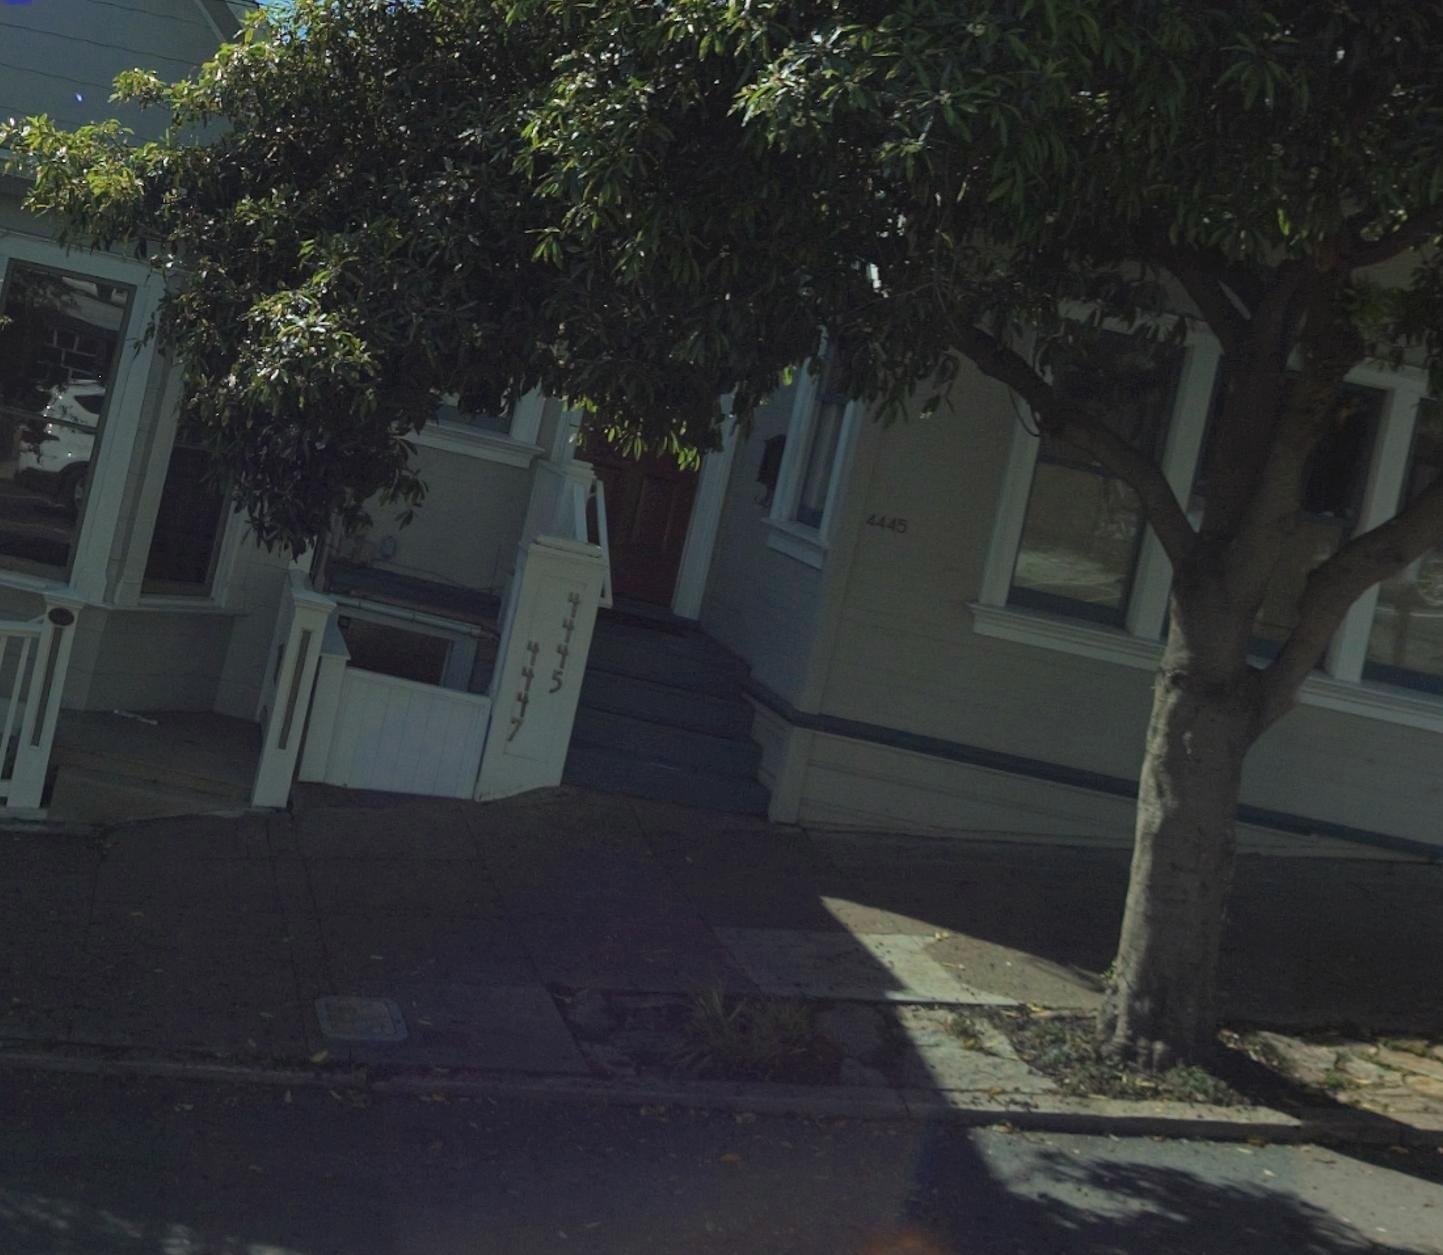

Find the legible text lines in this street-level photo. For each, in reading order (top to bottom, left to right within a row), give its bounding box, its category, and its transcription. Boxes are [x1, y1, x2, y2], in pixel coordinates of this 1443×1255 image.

[864, 510, 910, 536] StreetNumber: 4445
[504, 637, 541, 749] StreetNumber: 4447
[544, 589, 585, 697] StreetNumber: 4447